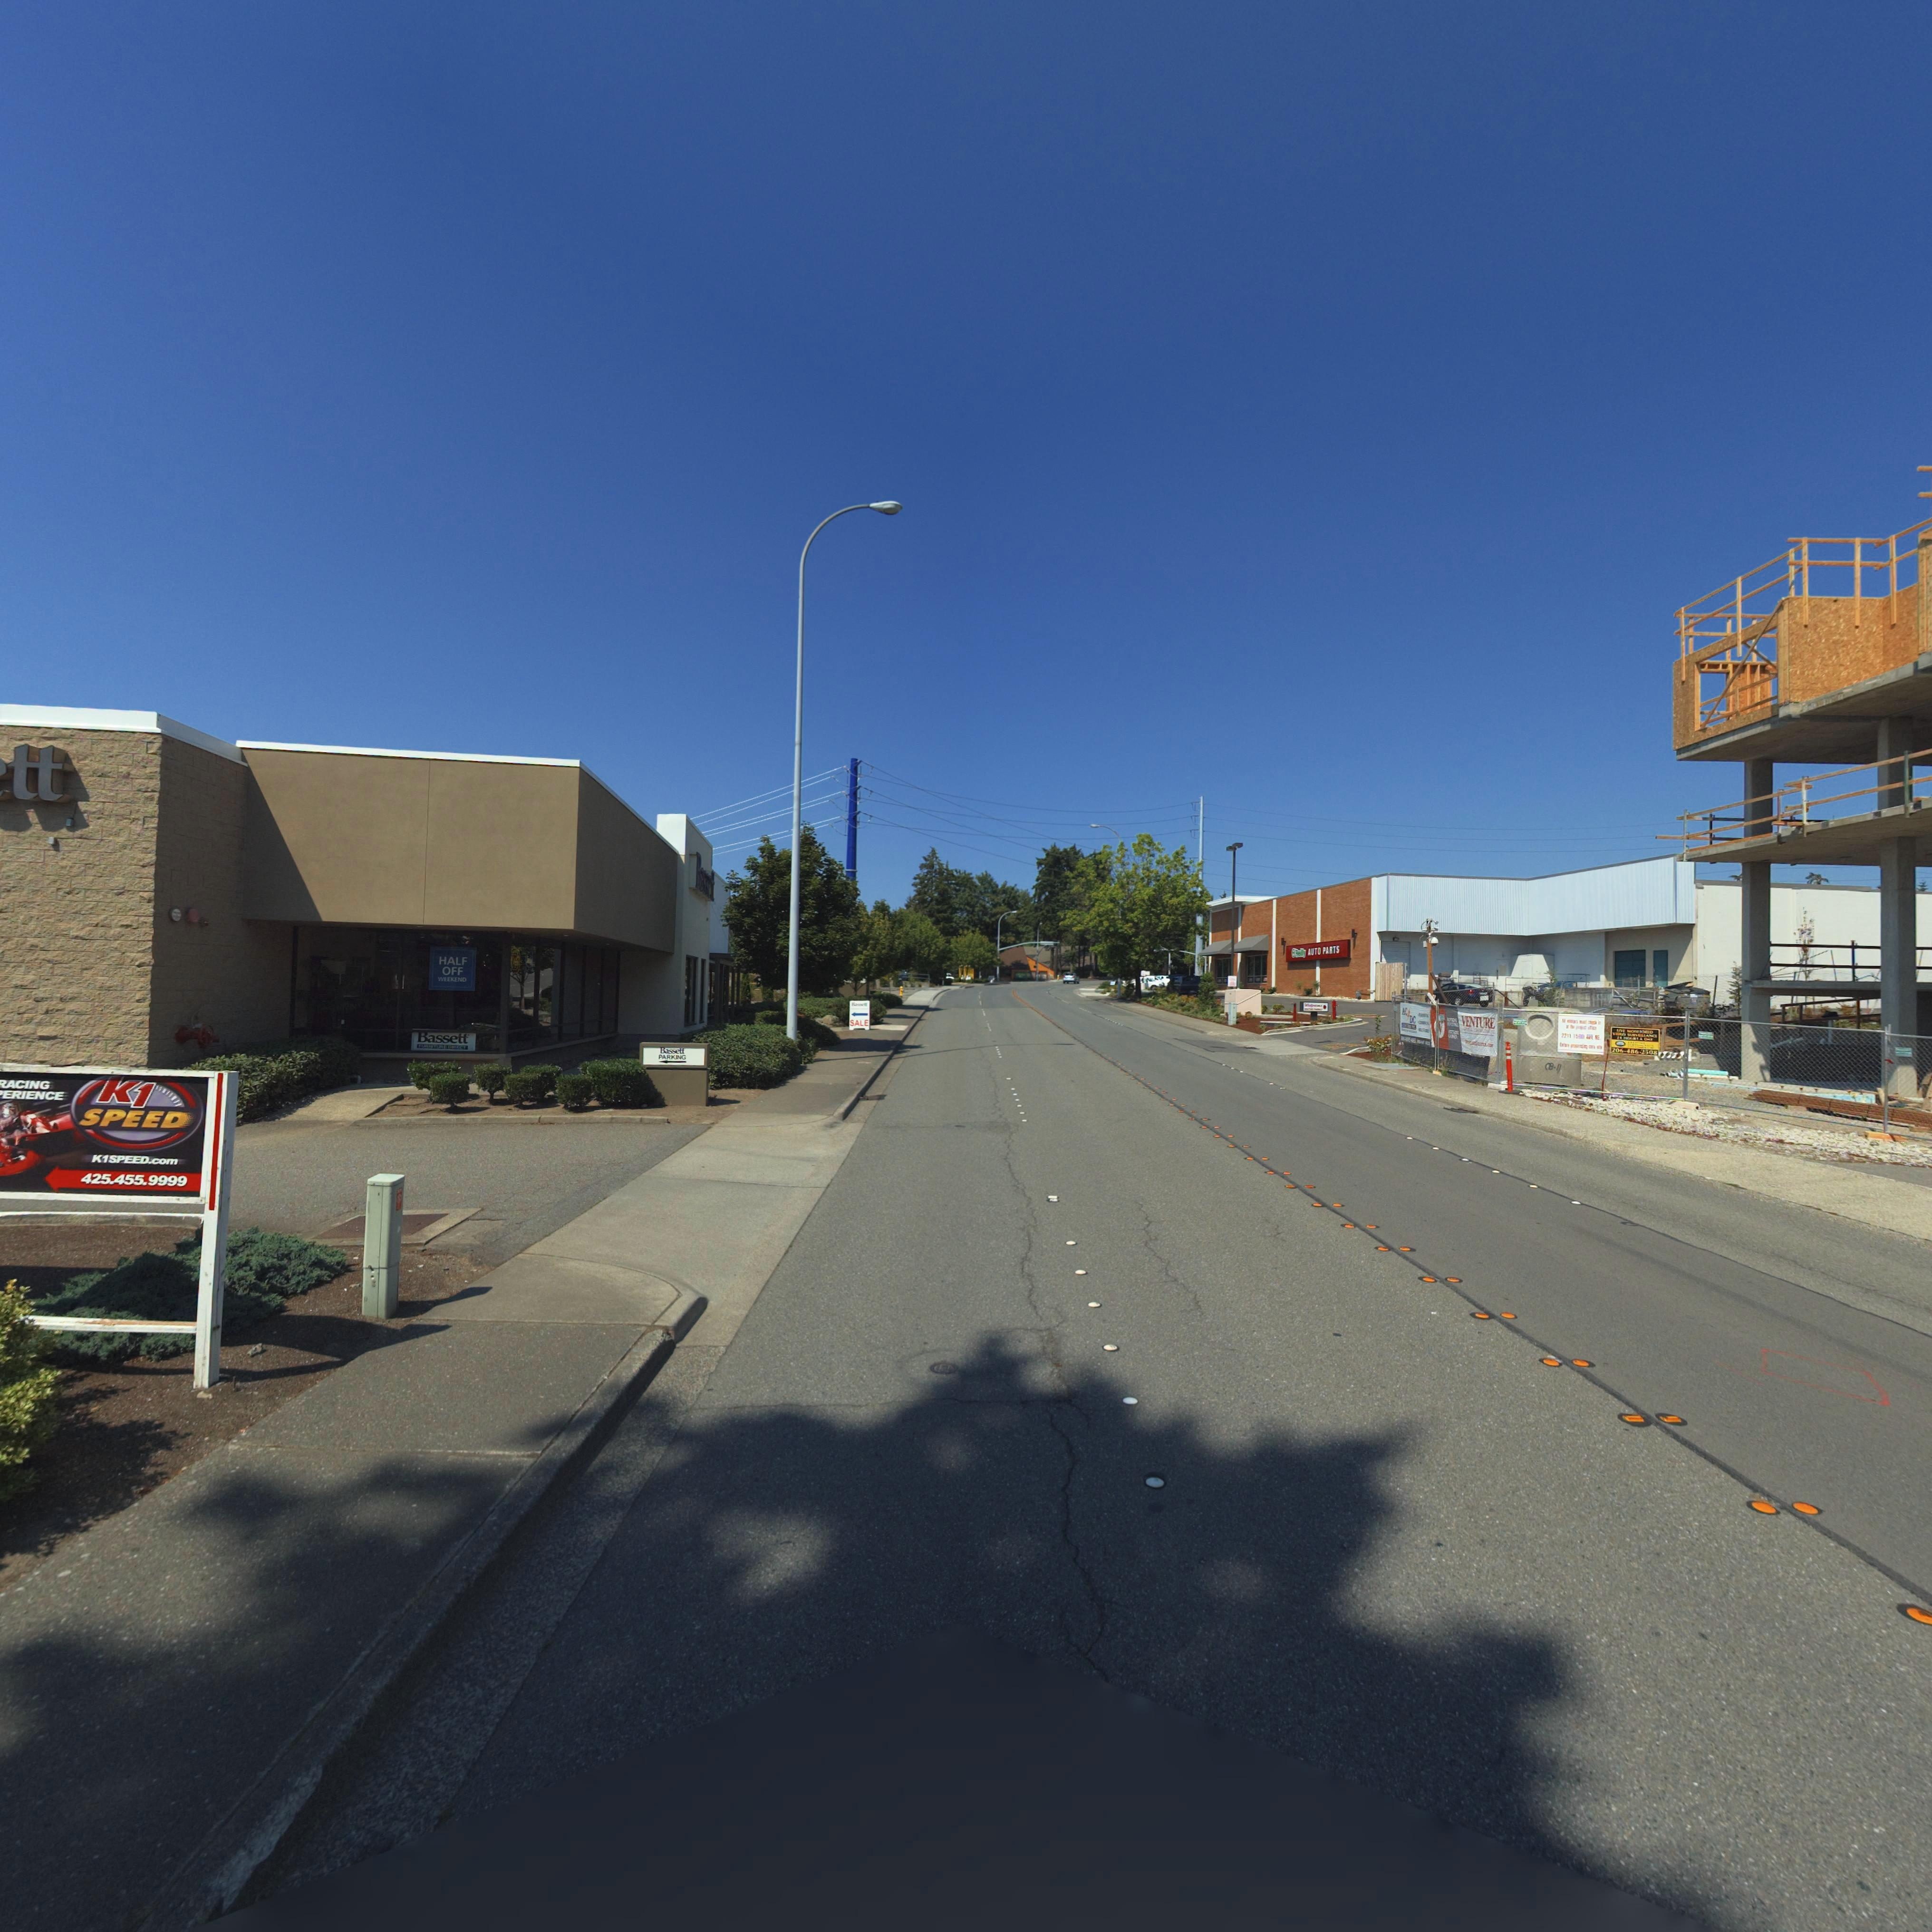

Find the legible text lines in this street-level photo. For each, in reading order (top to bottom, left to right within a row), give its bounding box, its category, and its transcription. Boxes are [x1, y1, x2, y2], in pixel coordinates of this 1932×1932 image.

[6, 744, 68, 802] BusinessName: tt
[1307, 945, 1340, 956] BusinessName: AUTO PARTS
[417, 1031, 468, 1044] BusinessName: Bassett
[660, 1046, 685, 1054] BusinessName: Bassett
[95, 1075, 157, 1109] BusinessName: K1
[77, 1107, 190, 1129] BusinessName: SPEED